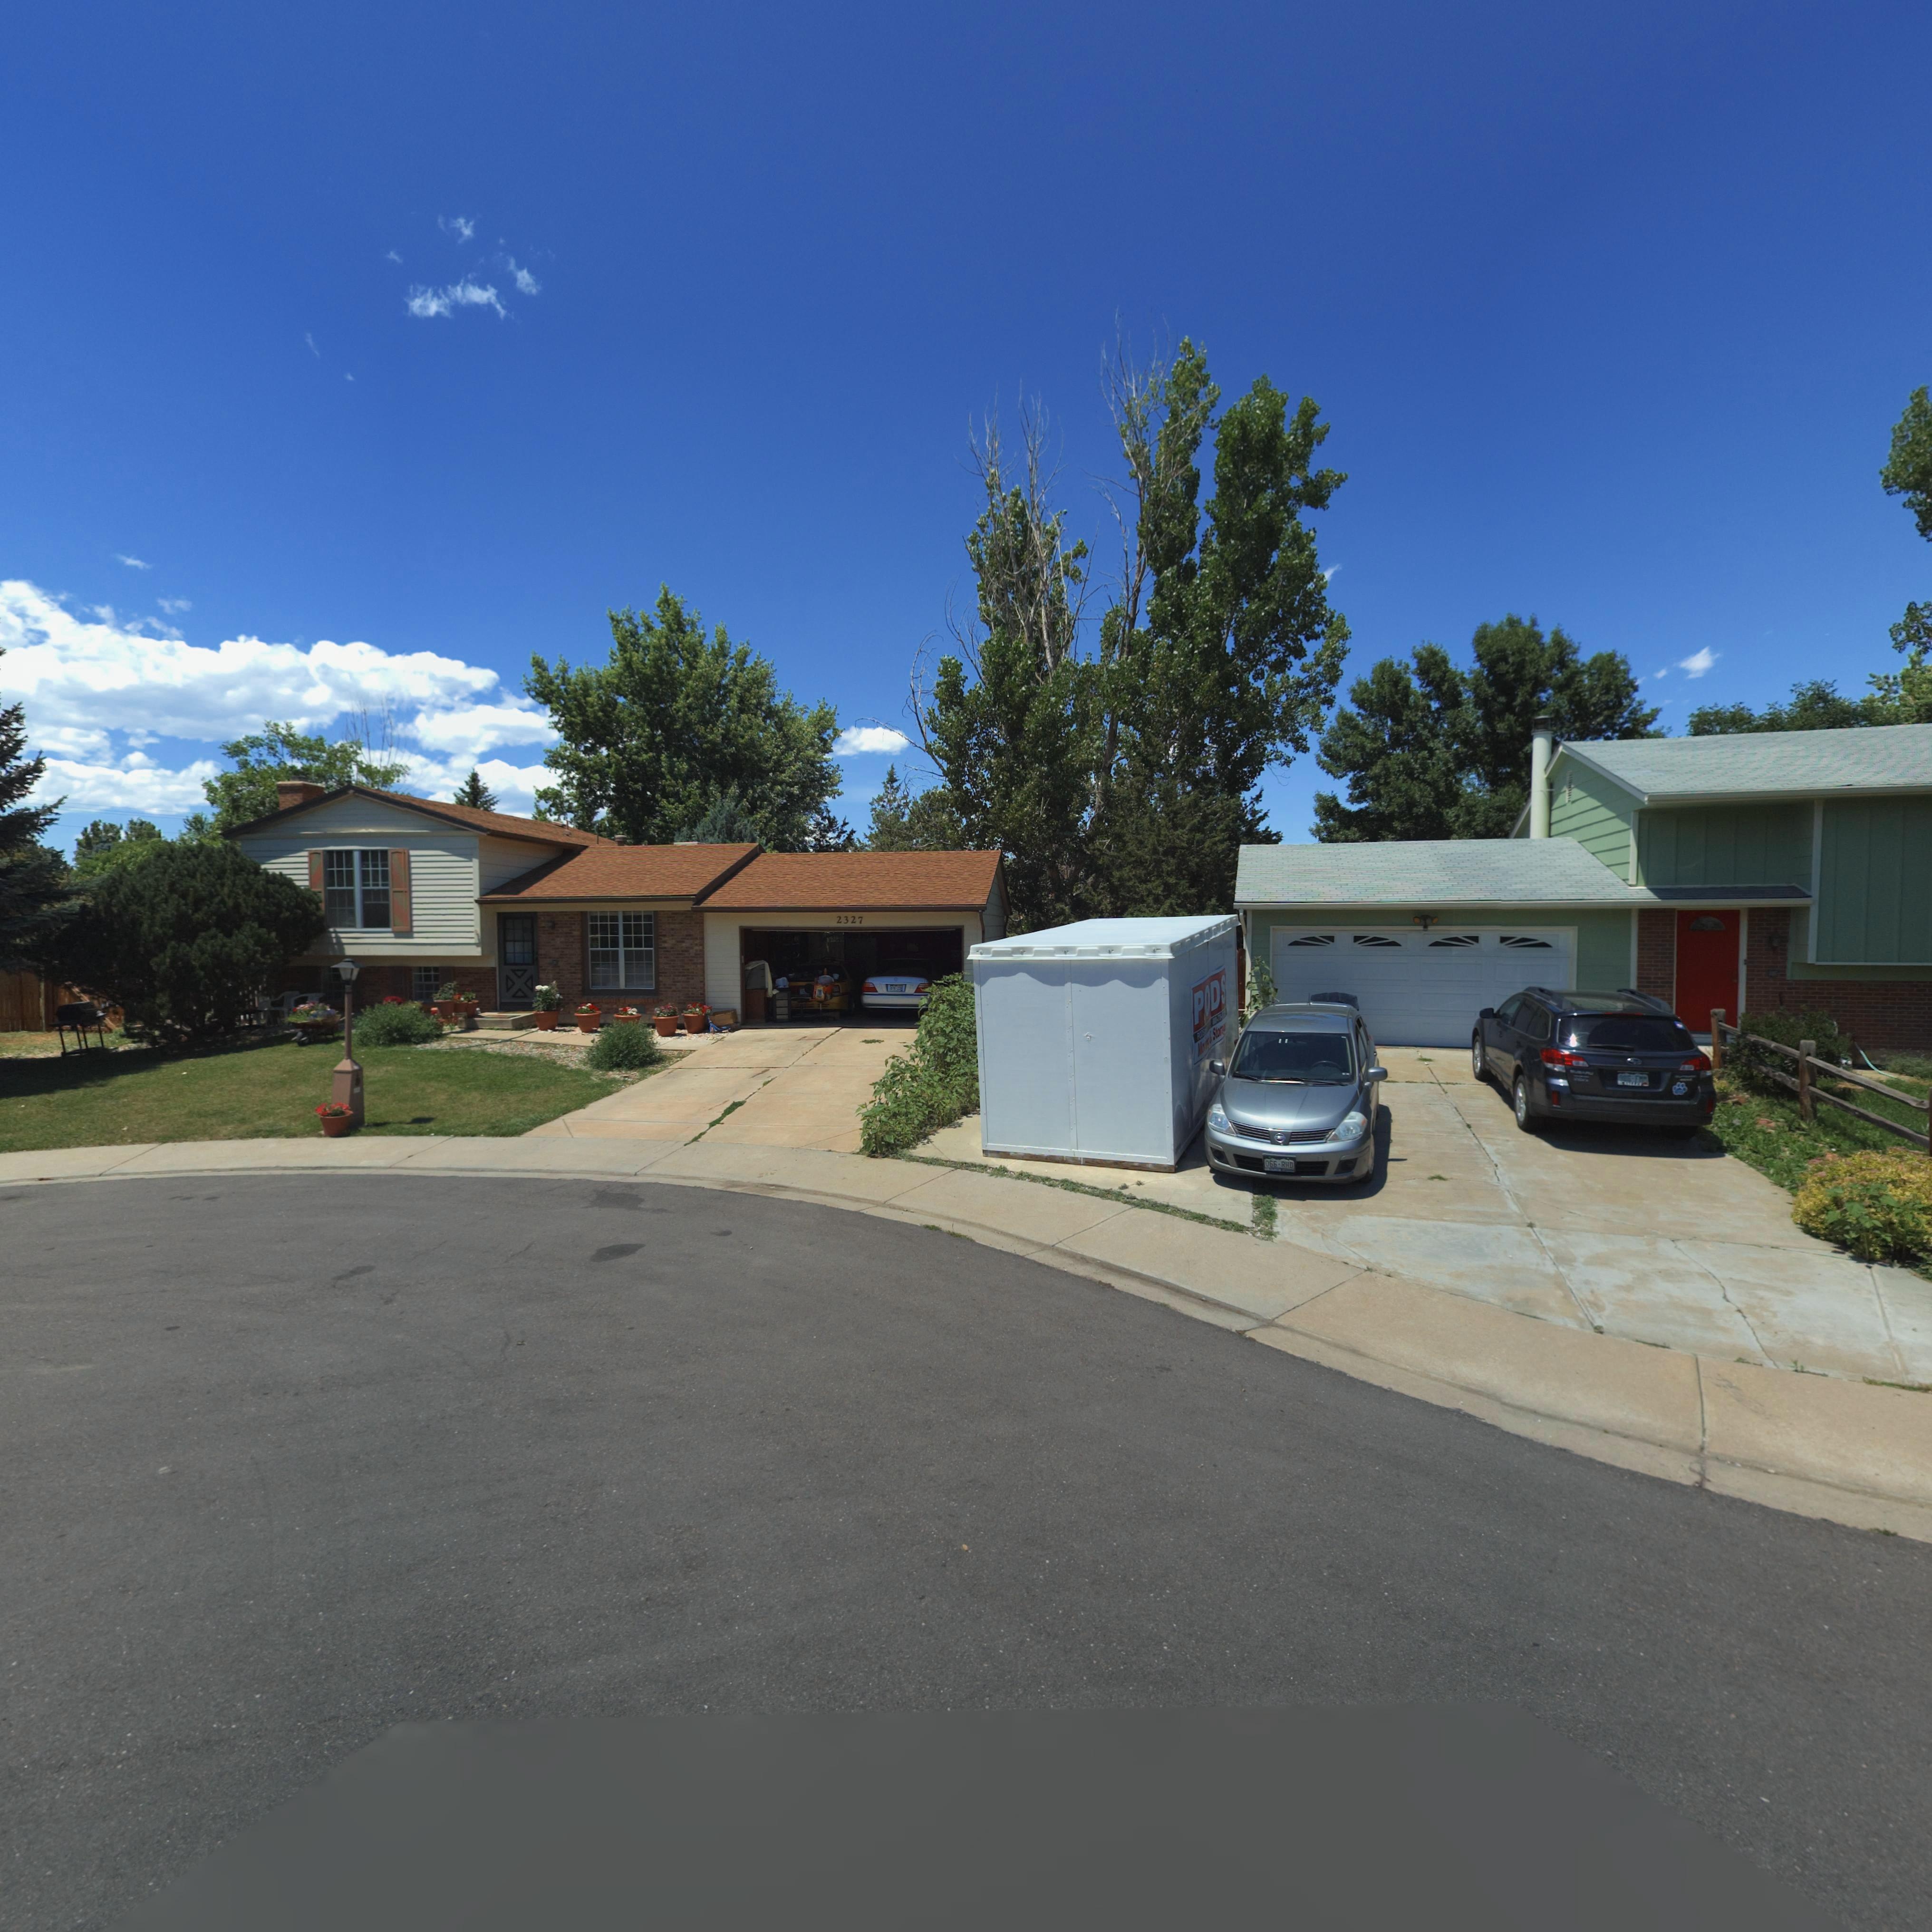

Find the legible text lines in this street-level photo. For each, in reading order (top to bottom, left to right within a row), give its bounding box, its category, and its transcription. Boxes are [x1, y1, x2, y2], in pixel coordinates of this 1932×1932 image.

[836, 916, 863, 924] StreetNumber: 2327